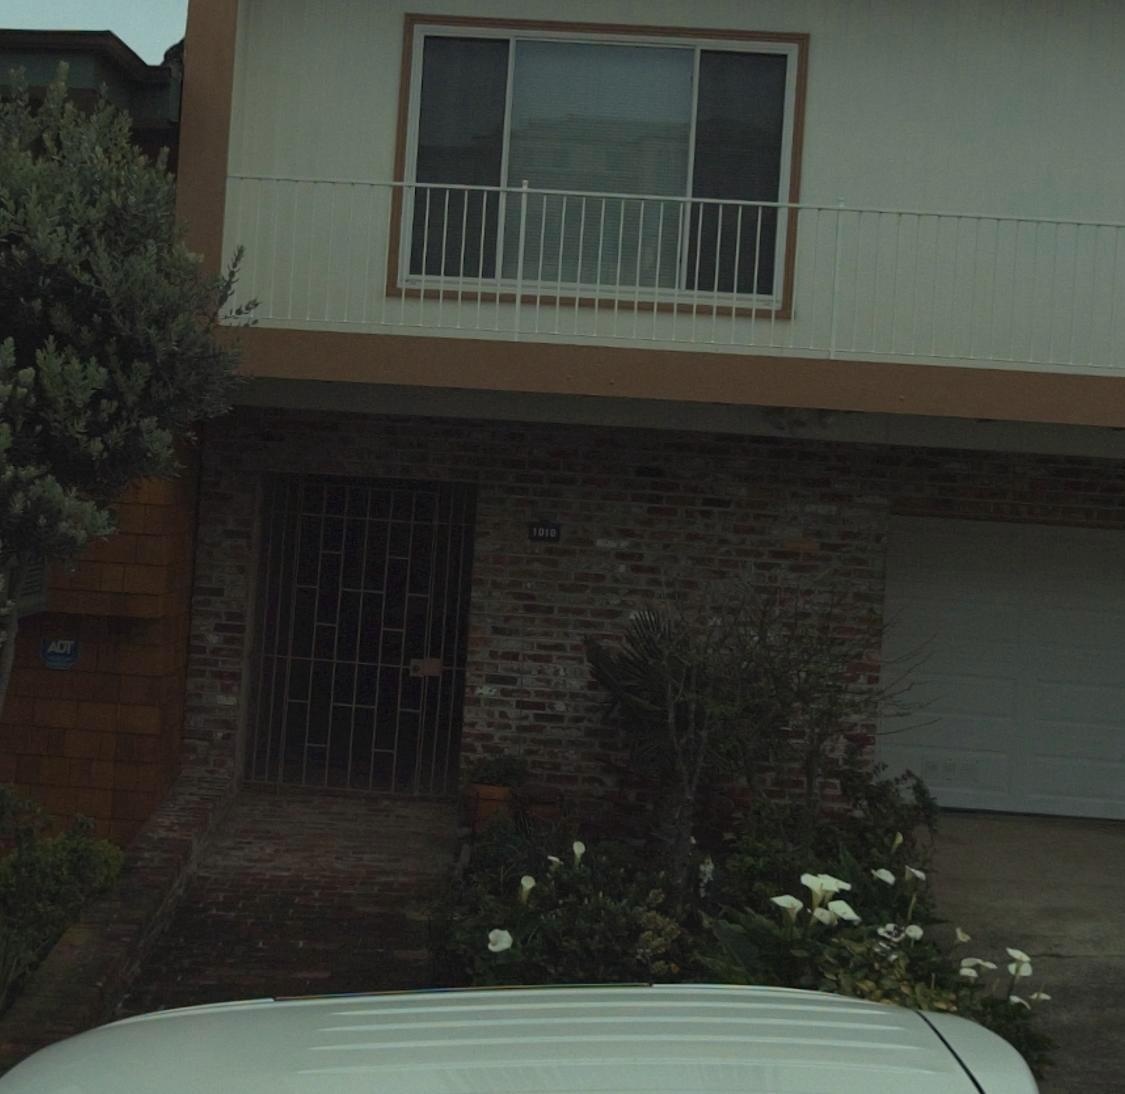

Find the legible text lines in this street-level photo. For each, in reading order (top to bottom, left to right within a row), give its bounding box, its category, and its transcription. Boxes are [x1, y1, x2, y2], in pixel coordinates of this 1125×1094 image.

[532, 526, 558, 539] StreetNumber: 1010
[44, 638, 76, 655] None: ADT